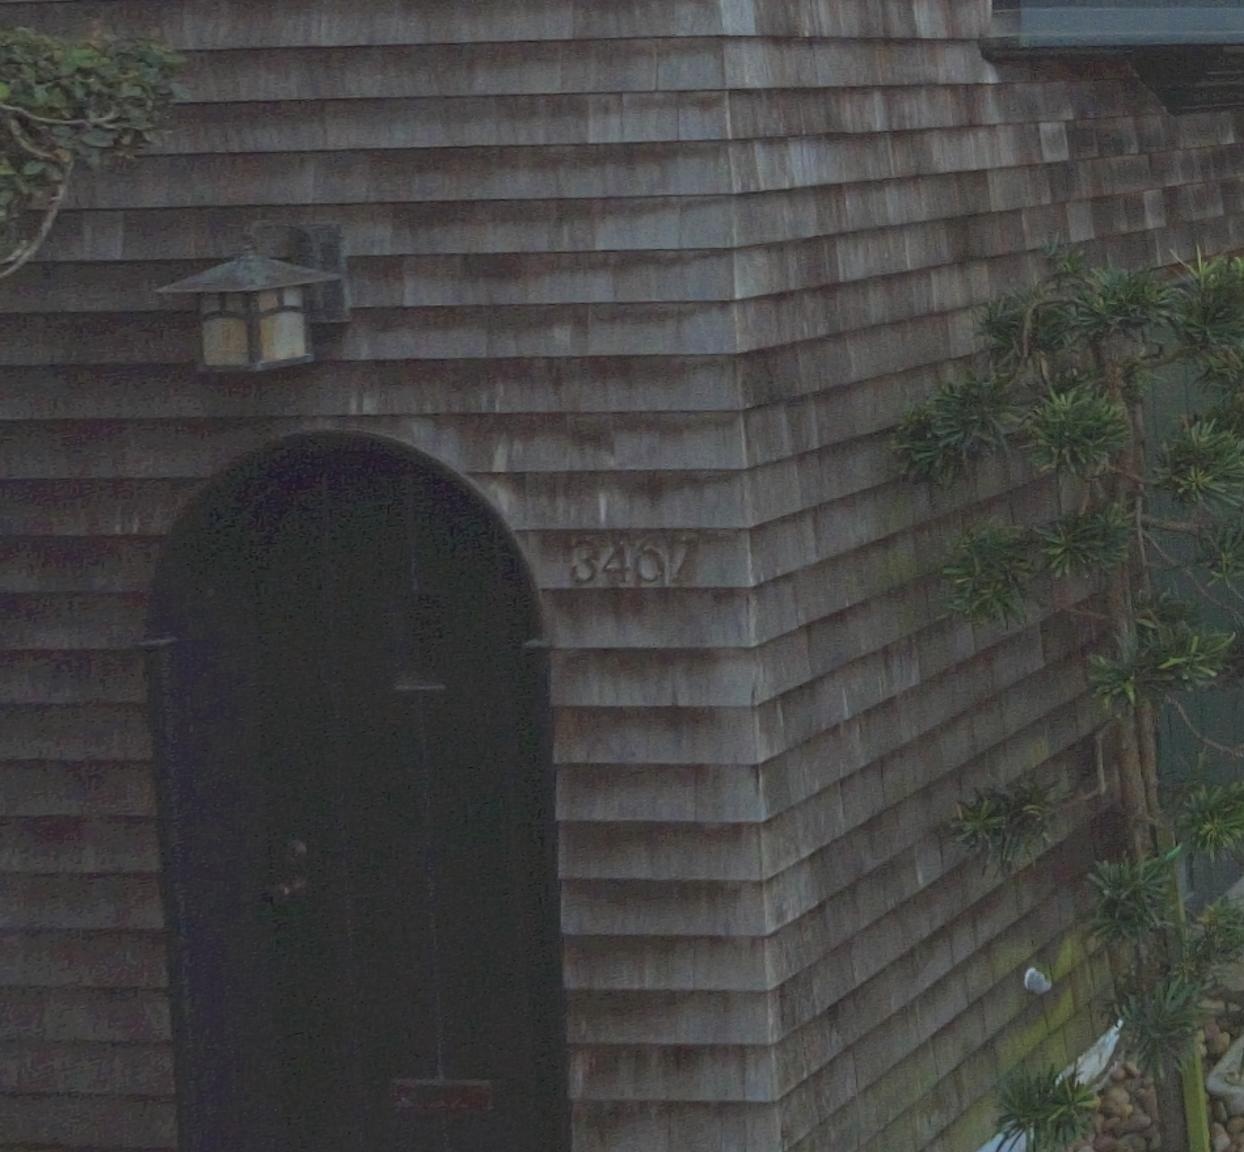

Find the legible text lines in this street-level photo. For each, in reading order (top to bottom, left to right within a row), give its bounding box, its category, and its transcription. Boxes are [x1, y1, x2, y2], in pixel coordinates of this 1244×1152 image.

[568, 534, 703, 587] StreetNumber: 3467